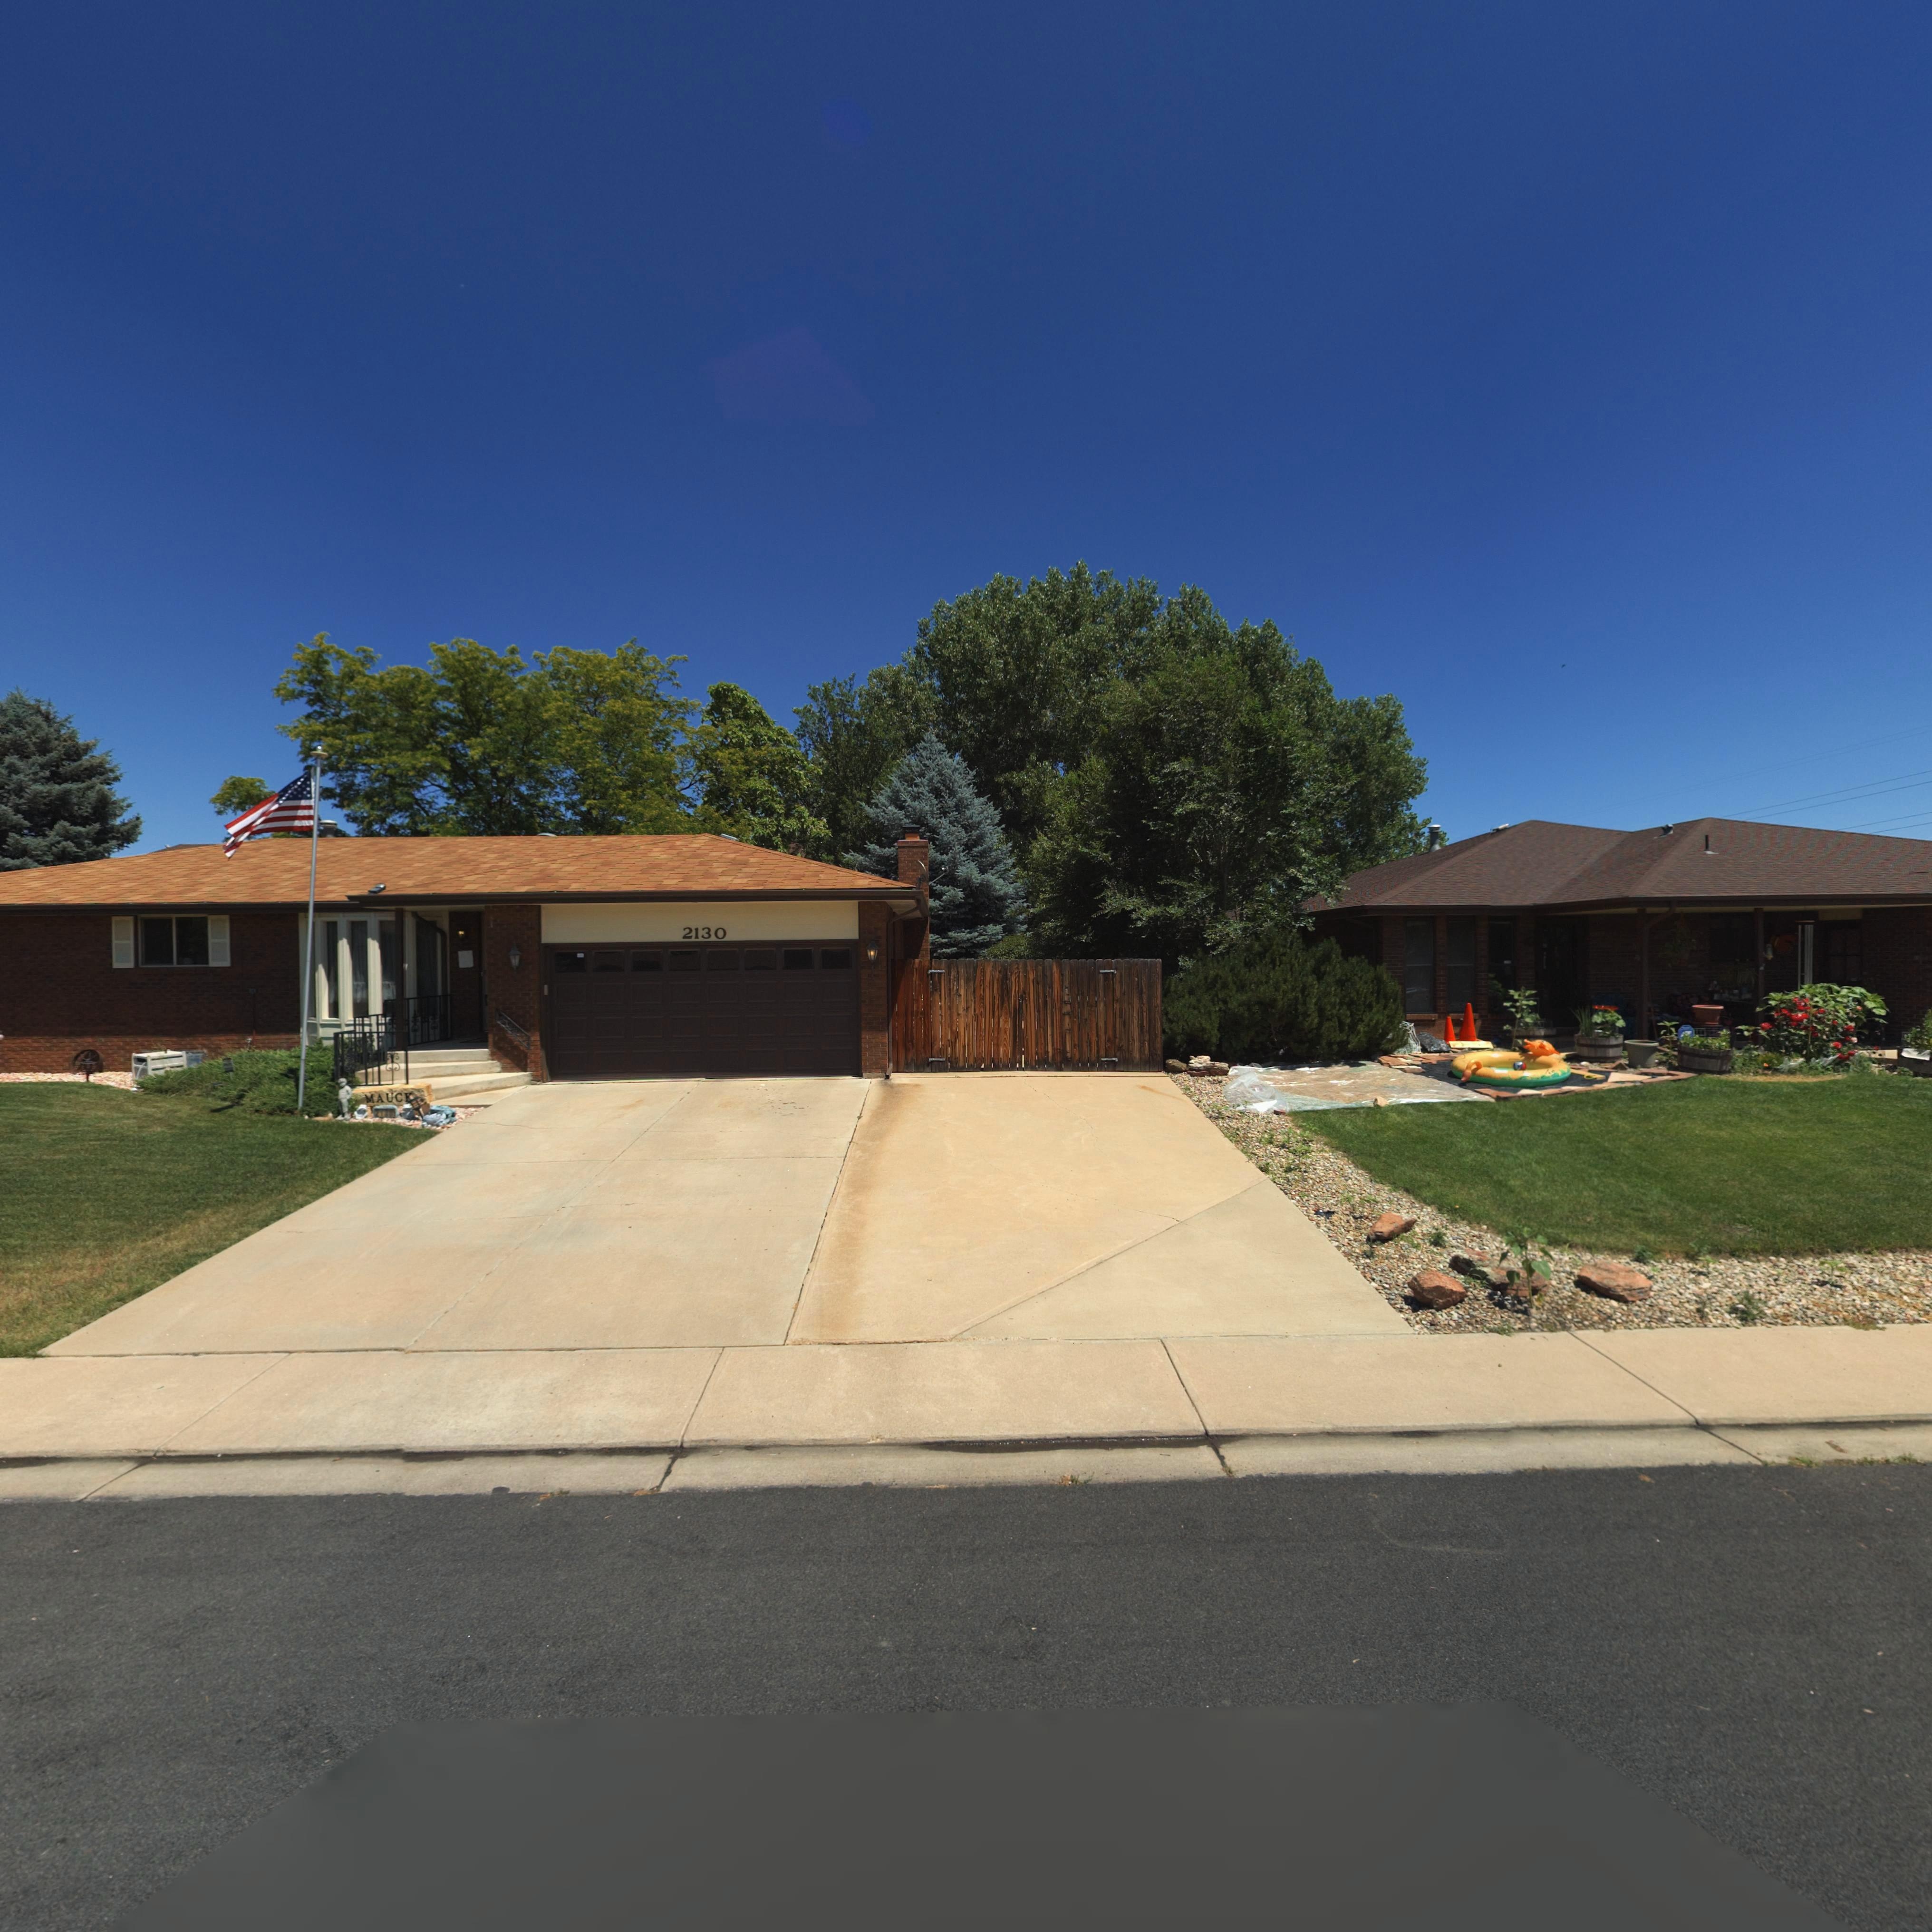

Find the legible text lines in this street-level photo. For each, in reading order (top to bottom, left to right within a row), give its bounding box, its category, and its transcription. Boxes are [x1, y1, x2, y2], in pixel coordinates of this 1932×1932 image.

[682, 926, 727, 940] StreetNumber: 2130
[375, 1109, 393, 1117] StreetNumber: 21**